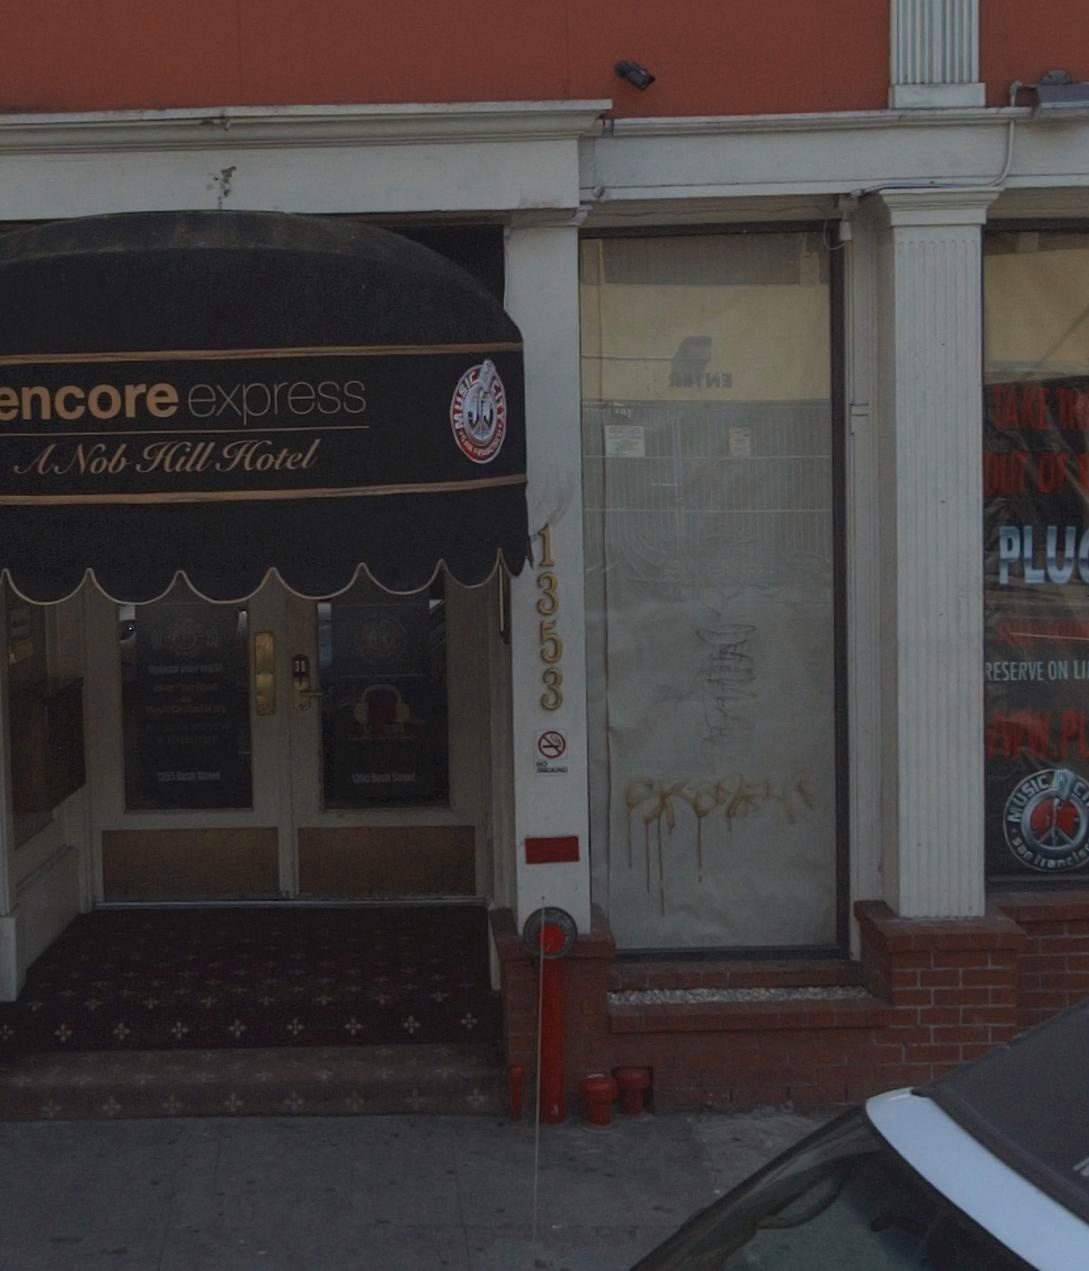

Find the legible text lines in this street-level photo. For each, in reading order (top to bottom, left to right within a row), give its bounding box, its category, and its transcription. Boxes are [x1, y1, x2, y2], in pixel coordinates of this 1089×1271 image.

[20, 378, 367, 428] BusinessName: ncoreexpress
[451, 368, 481, 432] BusinessName: MUSIC\
[488, 374, 507, 428] BusinessName: CITY
[666, 369, 732, 389] None: **T**
[988, 383, 1086, 434] None: TAKE TH
[9, 436, 321, 477] BusinessName: A Nob Hill Hotel
[984, 446, 1071, 499] None: OUT OF
[997, 522, 1077, 587] None: PLU
[531, 517, 567, 715] StreetNumber: 1353
[981, 658, 1087, 684] None: RESERVE ON LI
[982, 706, 1089, 762] None: *WW.PL
[1003, 770, 1088, 824] BusinessName: MUSIC C
[1008, 833, 1089, 872] None: san francis